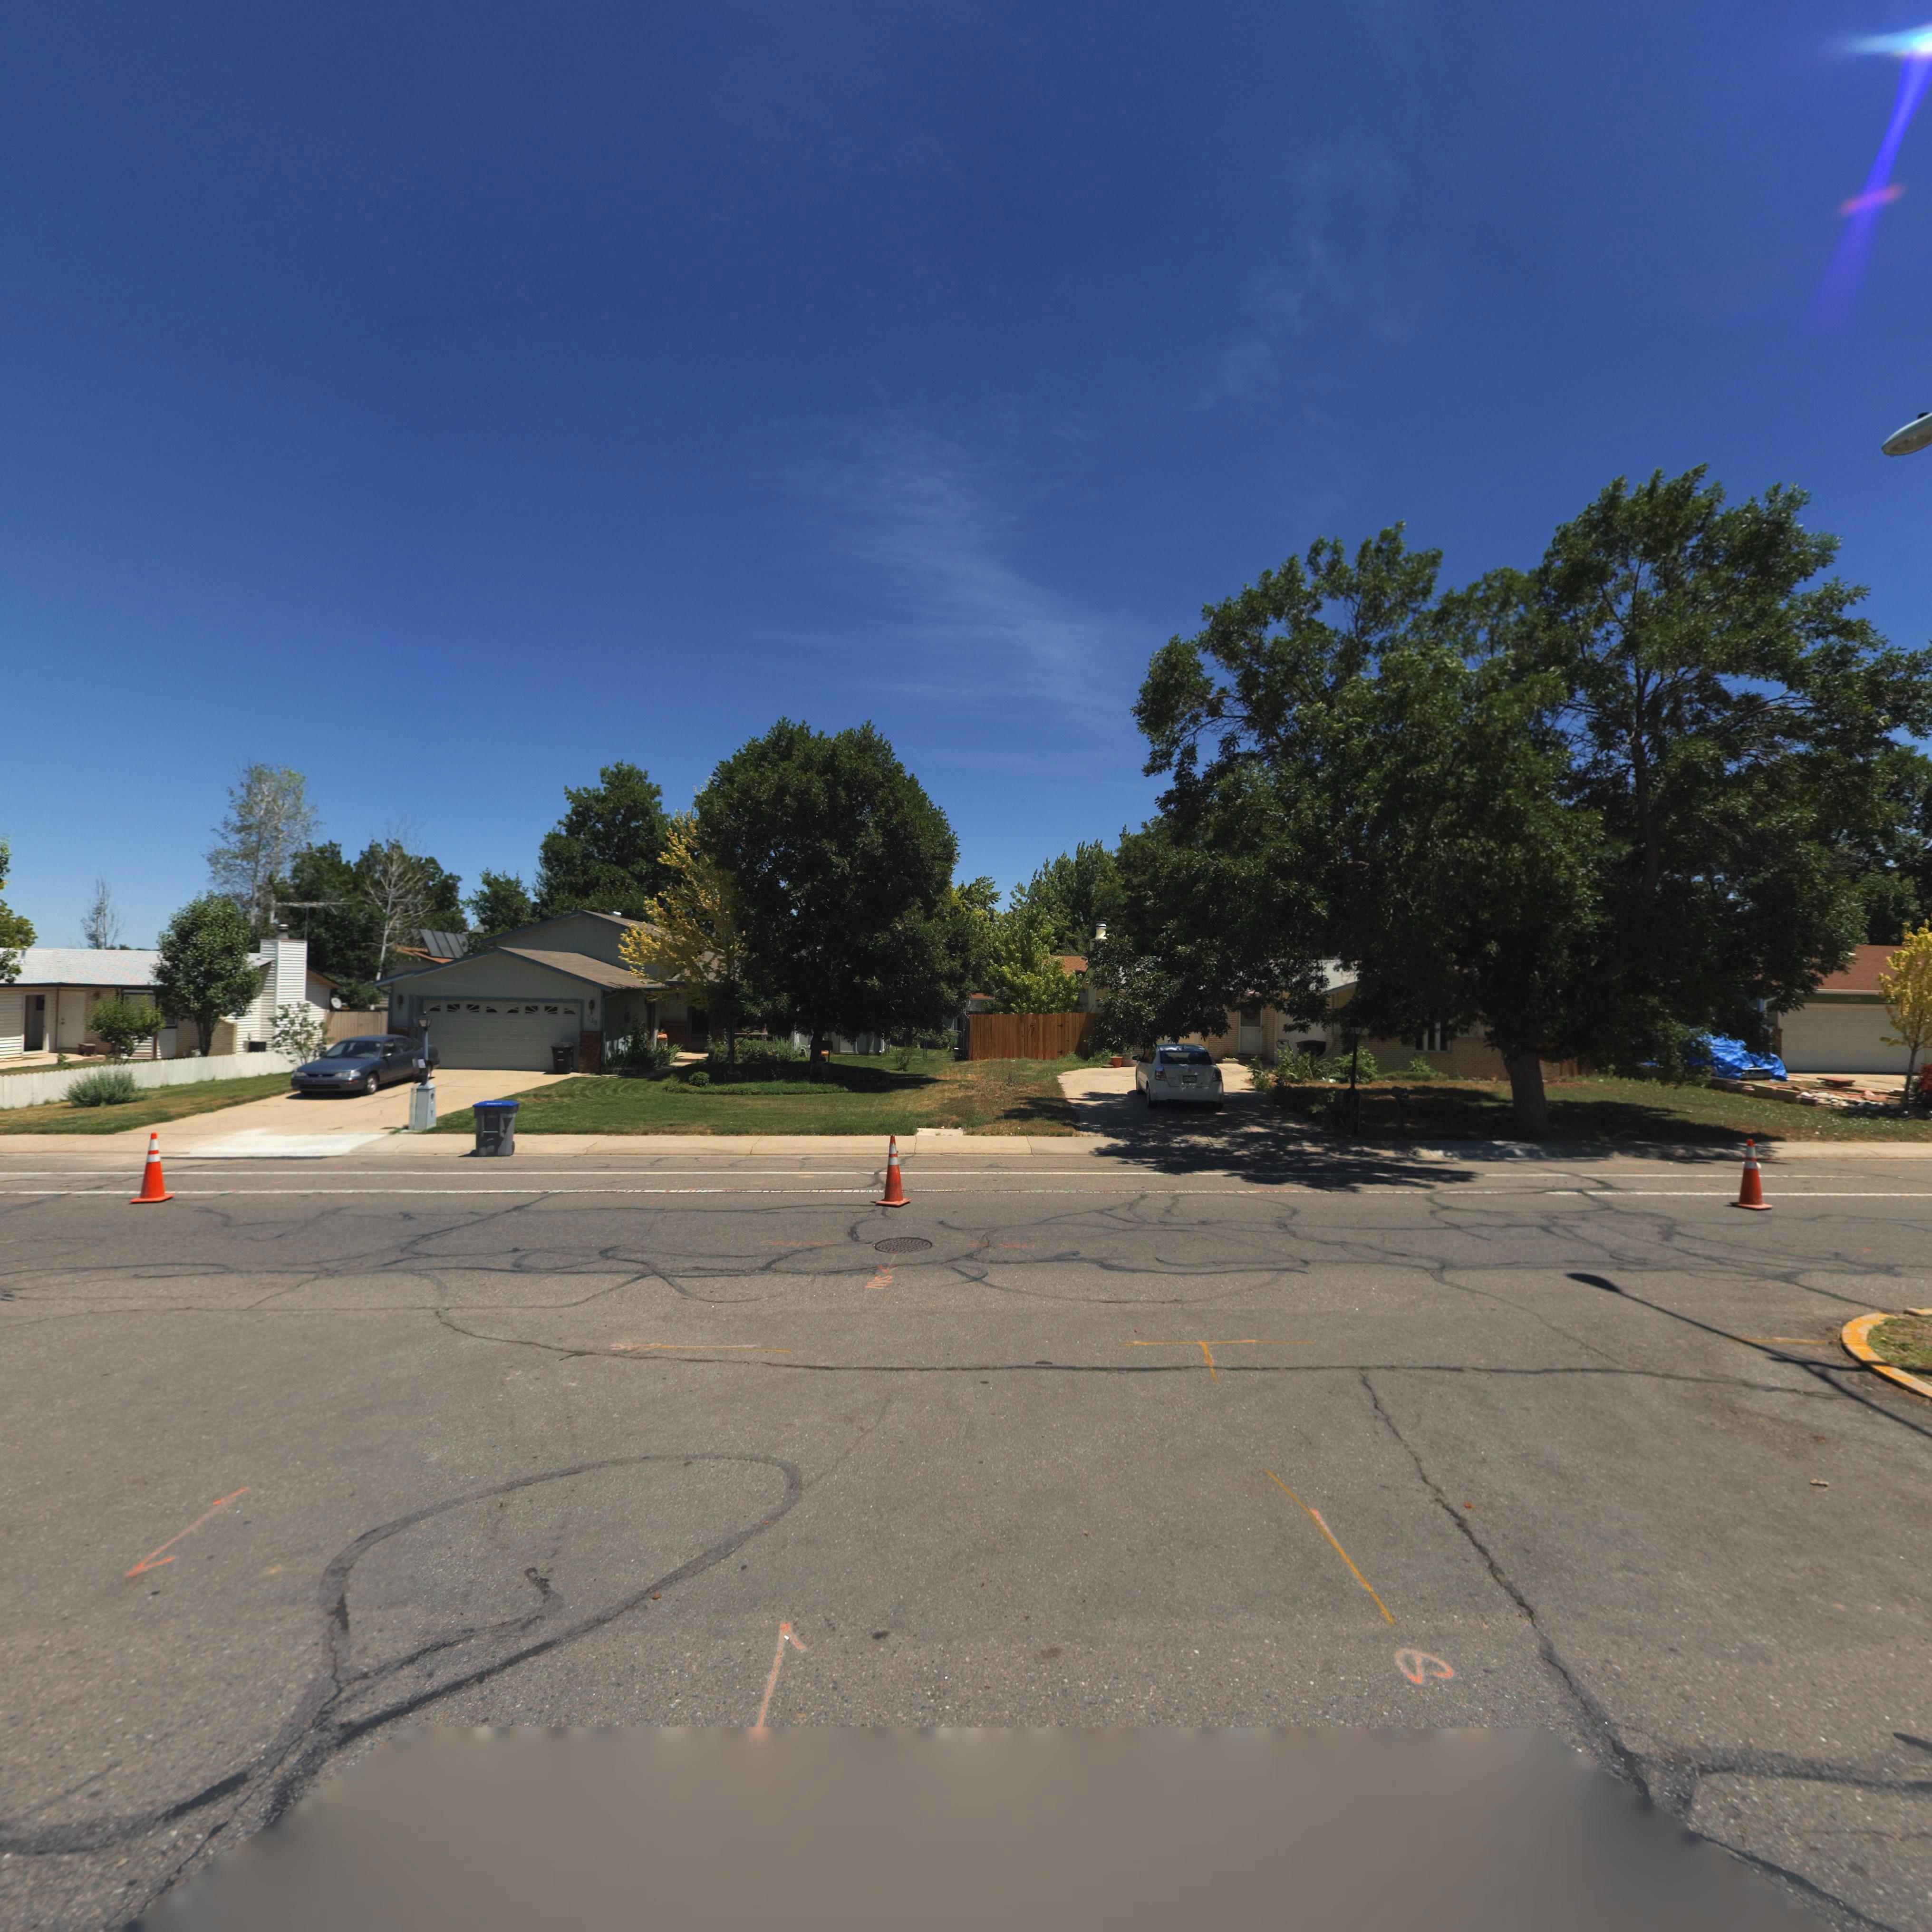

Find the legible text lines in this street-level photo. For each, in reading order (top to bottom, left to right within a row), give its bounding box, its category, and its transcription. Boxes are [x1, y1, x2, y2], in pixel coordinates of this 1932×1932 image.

[586, 1014, 598, 1026] StreetNumber: 738